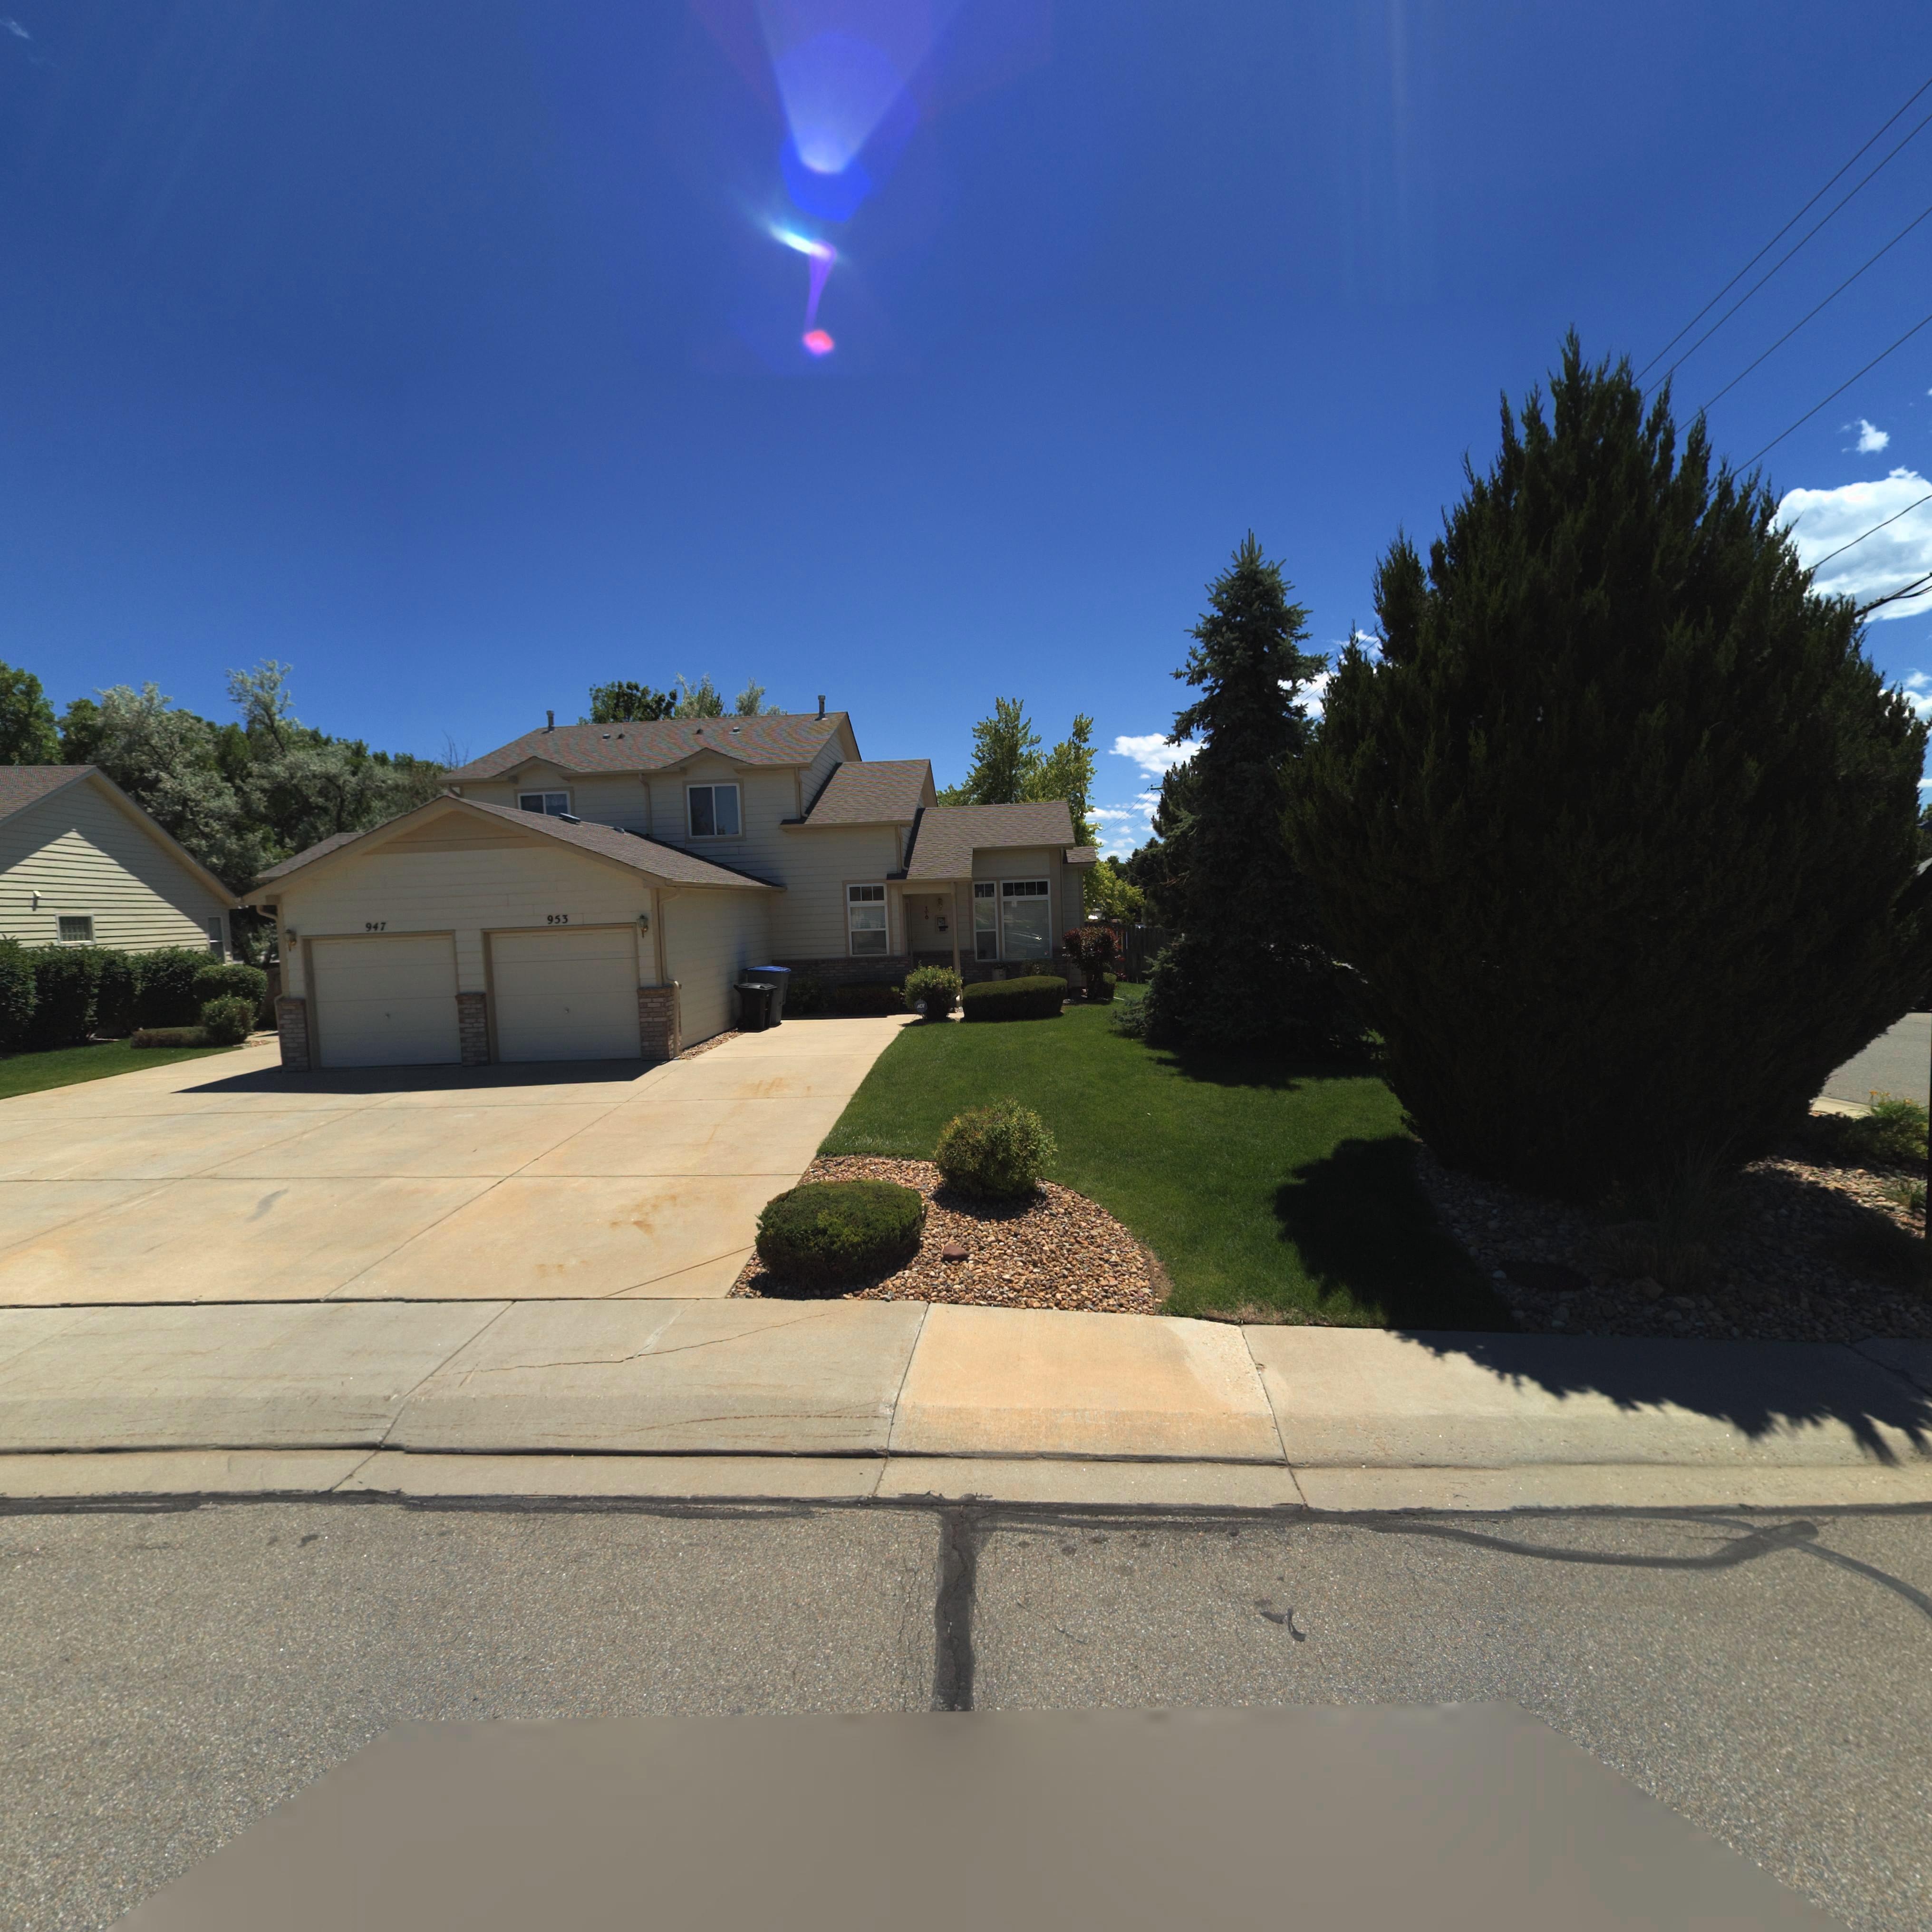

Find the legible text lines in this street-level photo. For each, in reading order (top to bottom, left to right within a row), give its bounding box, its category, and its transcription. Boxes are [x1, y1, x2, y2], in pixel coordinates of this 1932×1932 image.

[546, 914, 568, 925] StreetNumber: 953
[364, 921, 387, 932] StreetNumber: 947